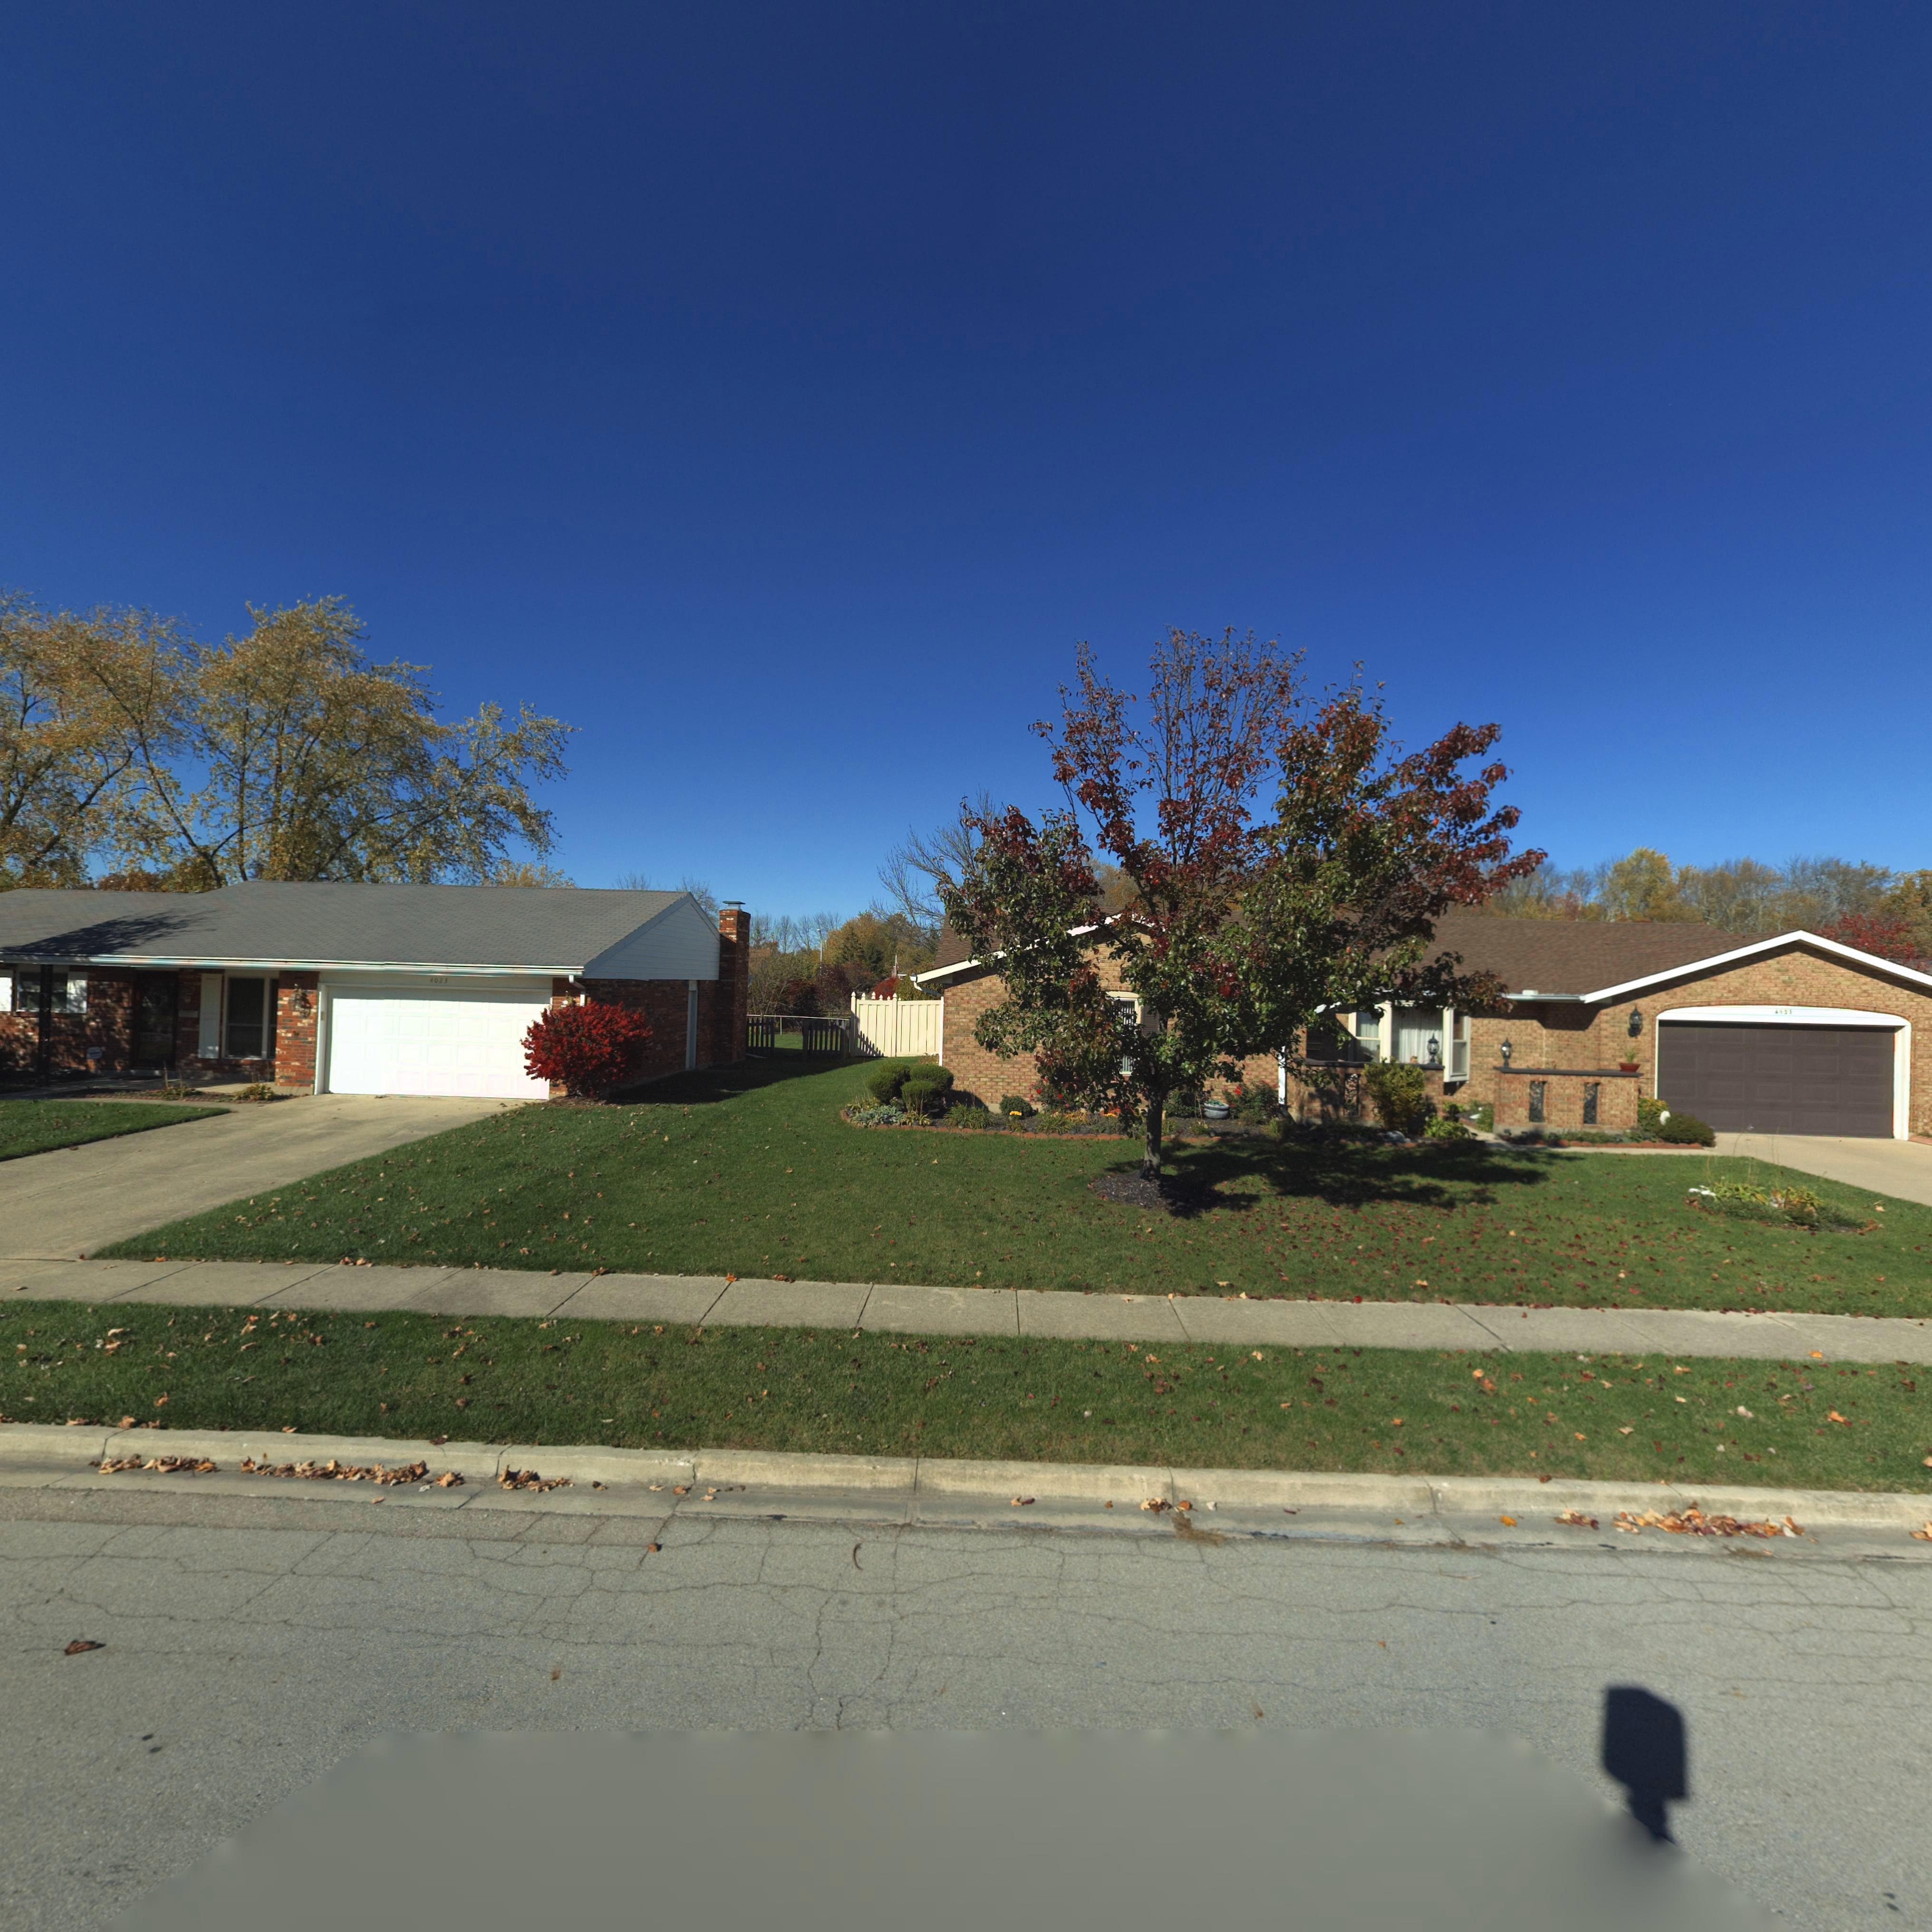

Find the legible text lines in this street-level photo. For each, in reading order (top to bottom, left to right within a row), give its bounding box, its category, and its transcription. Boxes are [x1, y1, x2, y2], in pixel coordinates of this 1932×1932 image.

[429, 977, 448, 984] StreetNumber: 4023
[1775, 1009, 1792, 1014] StreetNumber: 4*25